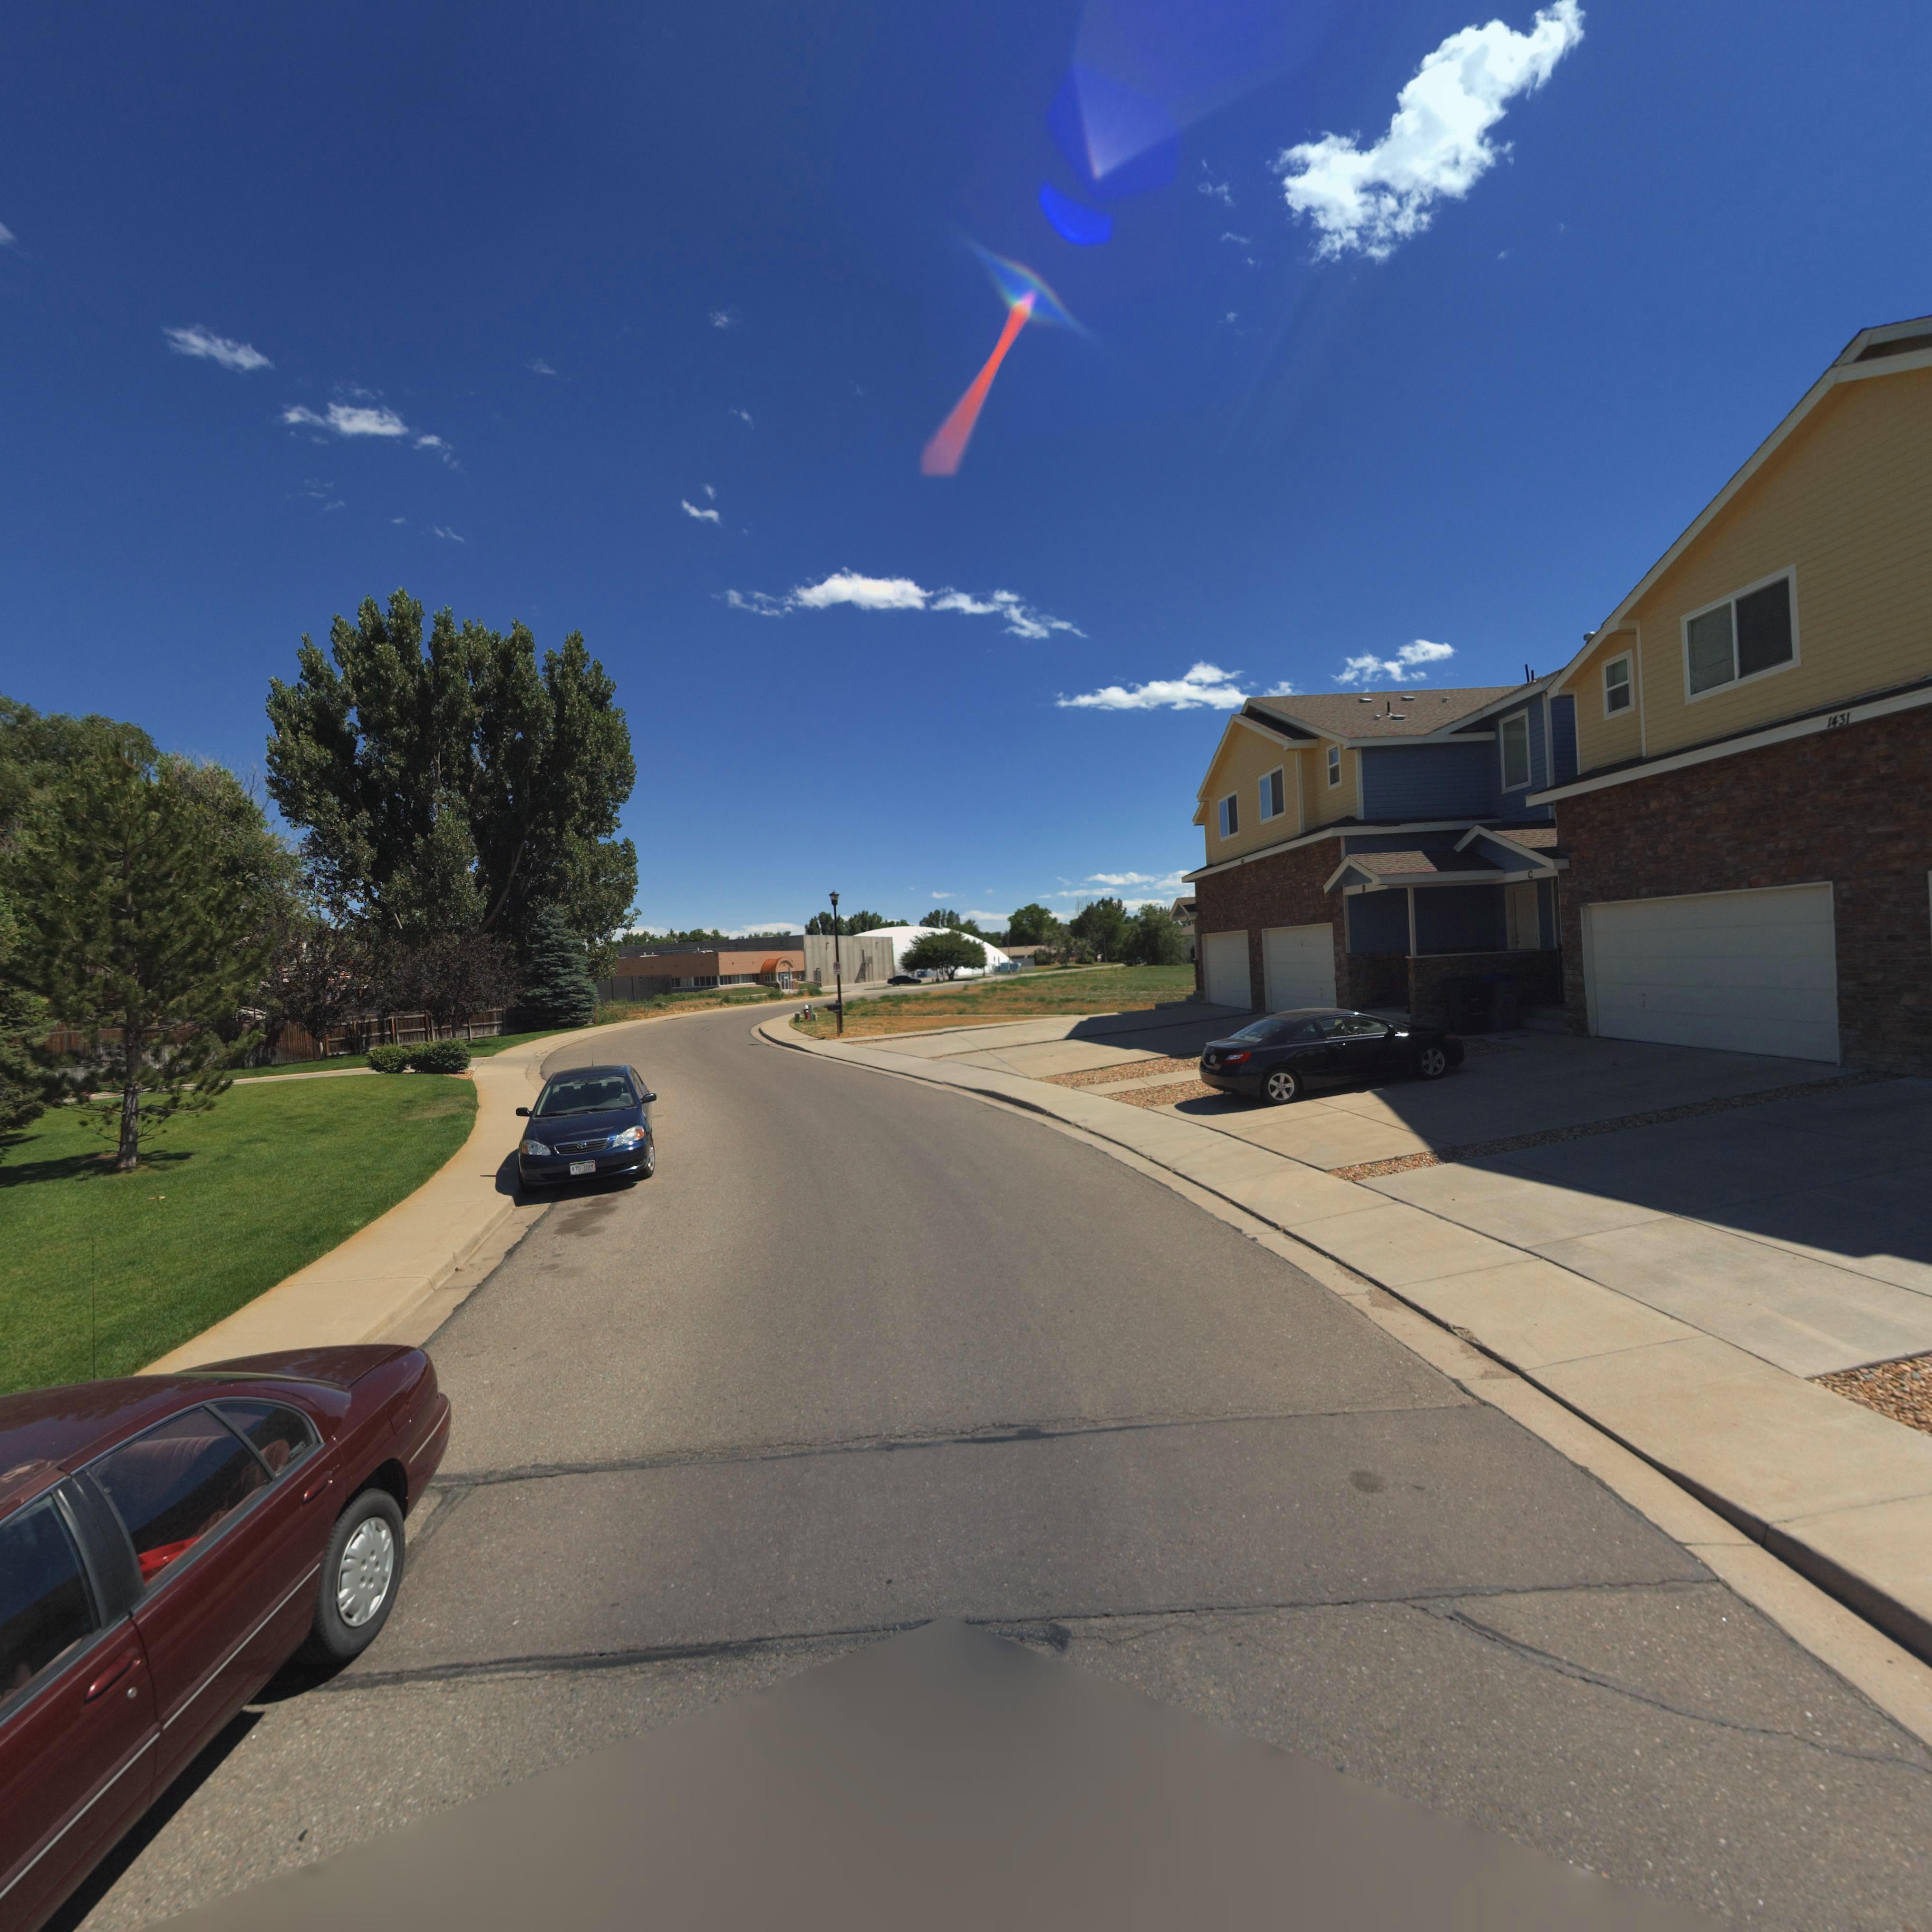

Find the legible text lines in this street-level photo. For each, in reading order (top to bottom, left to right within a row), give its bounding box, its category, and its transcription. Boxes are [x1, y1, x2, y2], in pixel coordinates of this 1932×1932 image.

[1826, 711, 1850, 729] StreetNumber: 1431